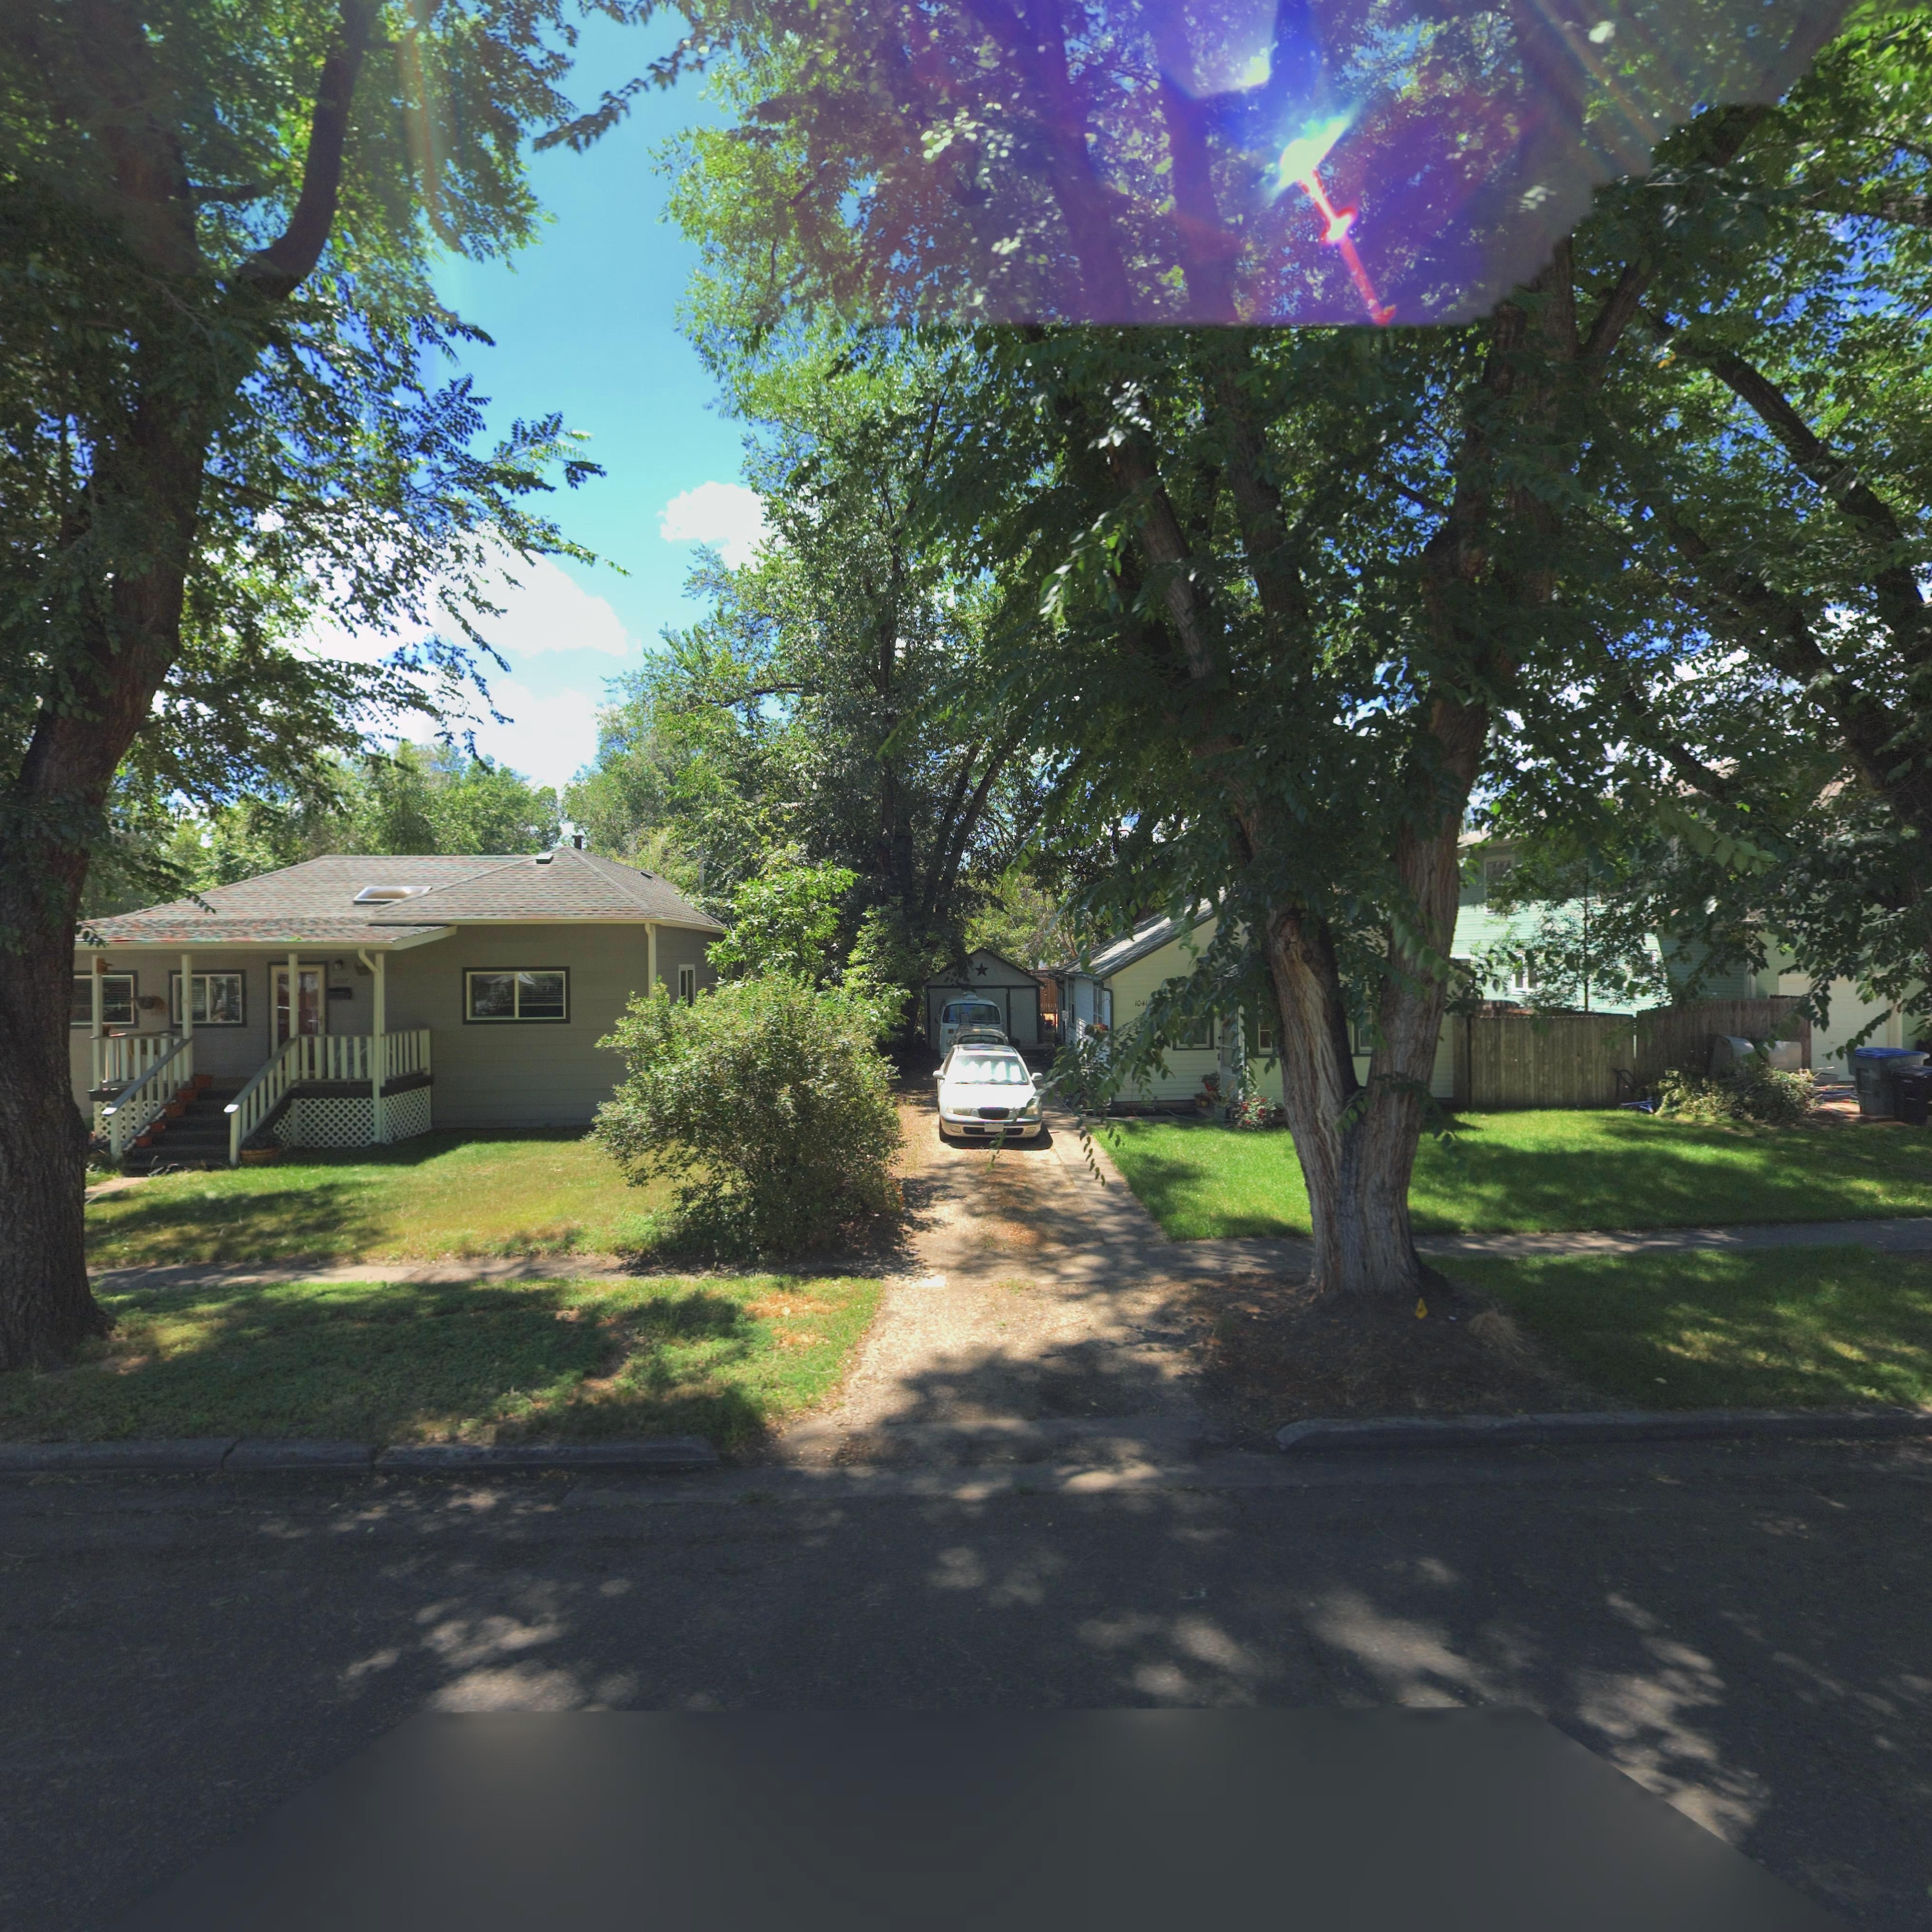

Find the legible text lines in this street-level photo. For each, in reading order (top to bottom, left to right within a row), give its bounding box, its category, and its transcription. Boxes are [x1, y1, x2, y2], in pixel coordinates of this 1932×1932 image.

[333, 977, 349, 984] StreetNumber: 10**
[1135, 999, 1148, 1006] StreetNumber: 1041